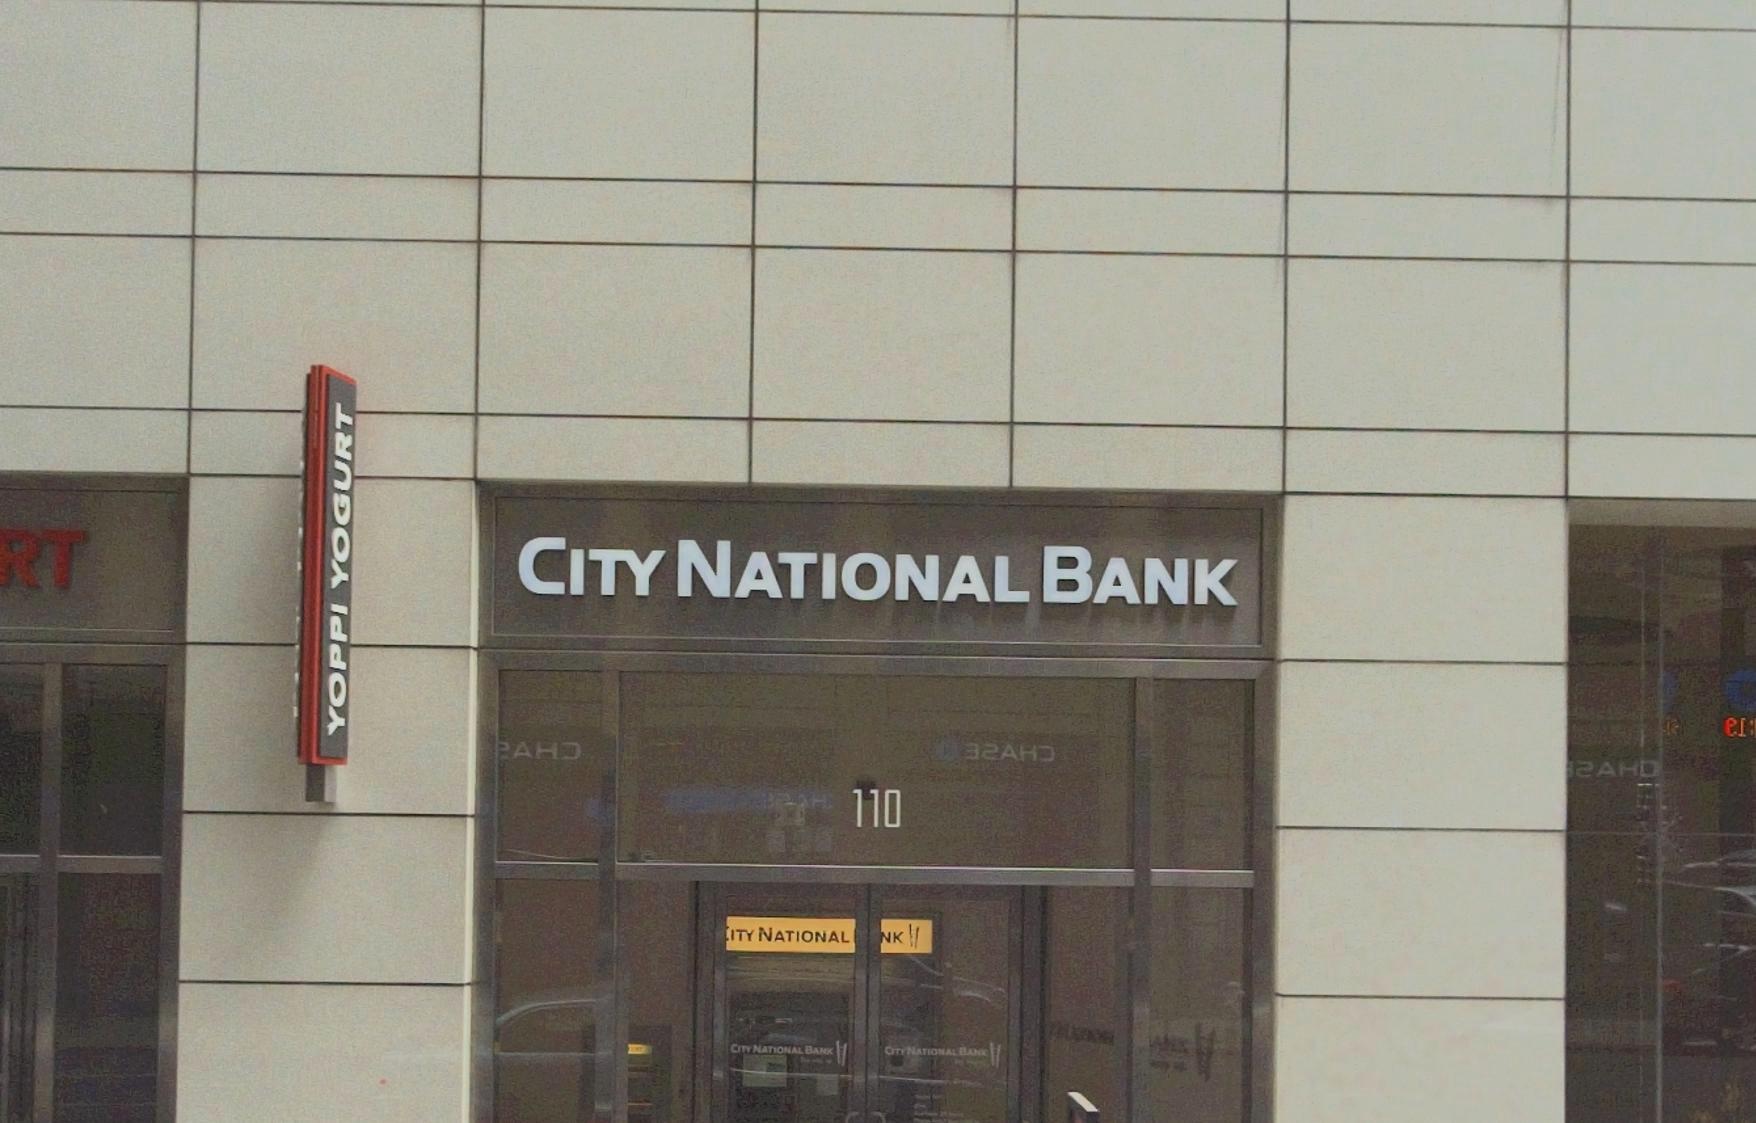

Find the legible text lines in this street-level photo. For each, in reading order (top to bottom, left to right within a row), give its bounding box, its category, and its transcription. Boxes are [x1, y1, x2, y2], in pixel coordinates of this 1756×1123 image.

[34, 523, 94, 592] BusinessName: T
[323, 395, 359, 744] BusinessName: YOPPI YOGURT
[512, 530, 1244, 612] BusinessName: CITY NATIONAL BANK
[508, 737, 586, 763] BusinessName: AH*
[962, 739, 1058, 766] BusinessName: **AH*
[1573, 756, 1664, 781] BusinessName: *AH*
[848, 786, 906, 830] StreetNumber: 110
[729, 925, 852, 946] None: ITY NATIONAL
[878, 928, 908, 947] None: NK
[728, 1040, 837, 1057] None: CITY NATIONAL BANK
[883, 1043, 990, 1059] None: CITY NATIONAL BANK